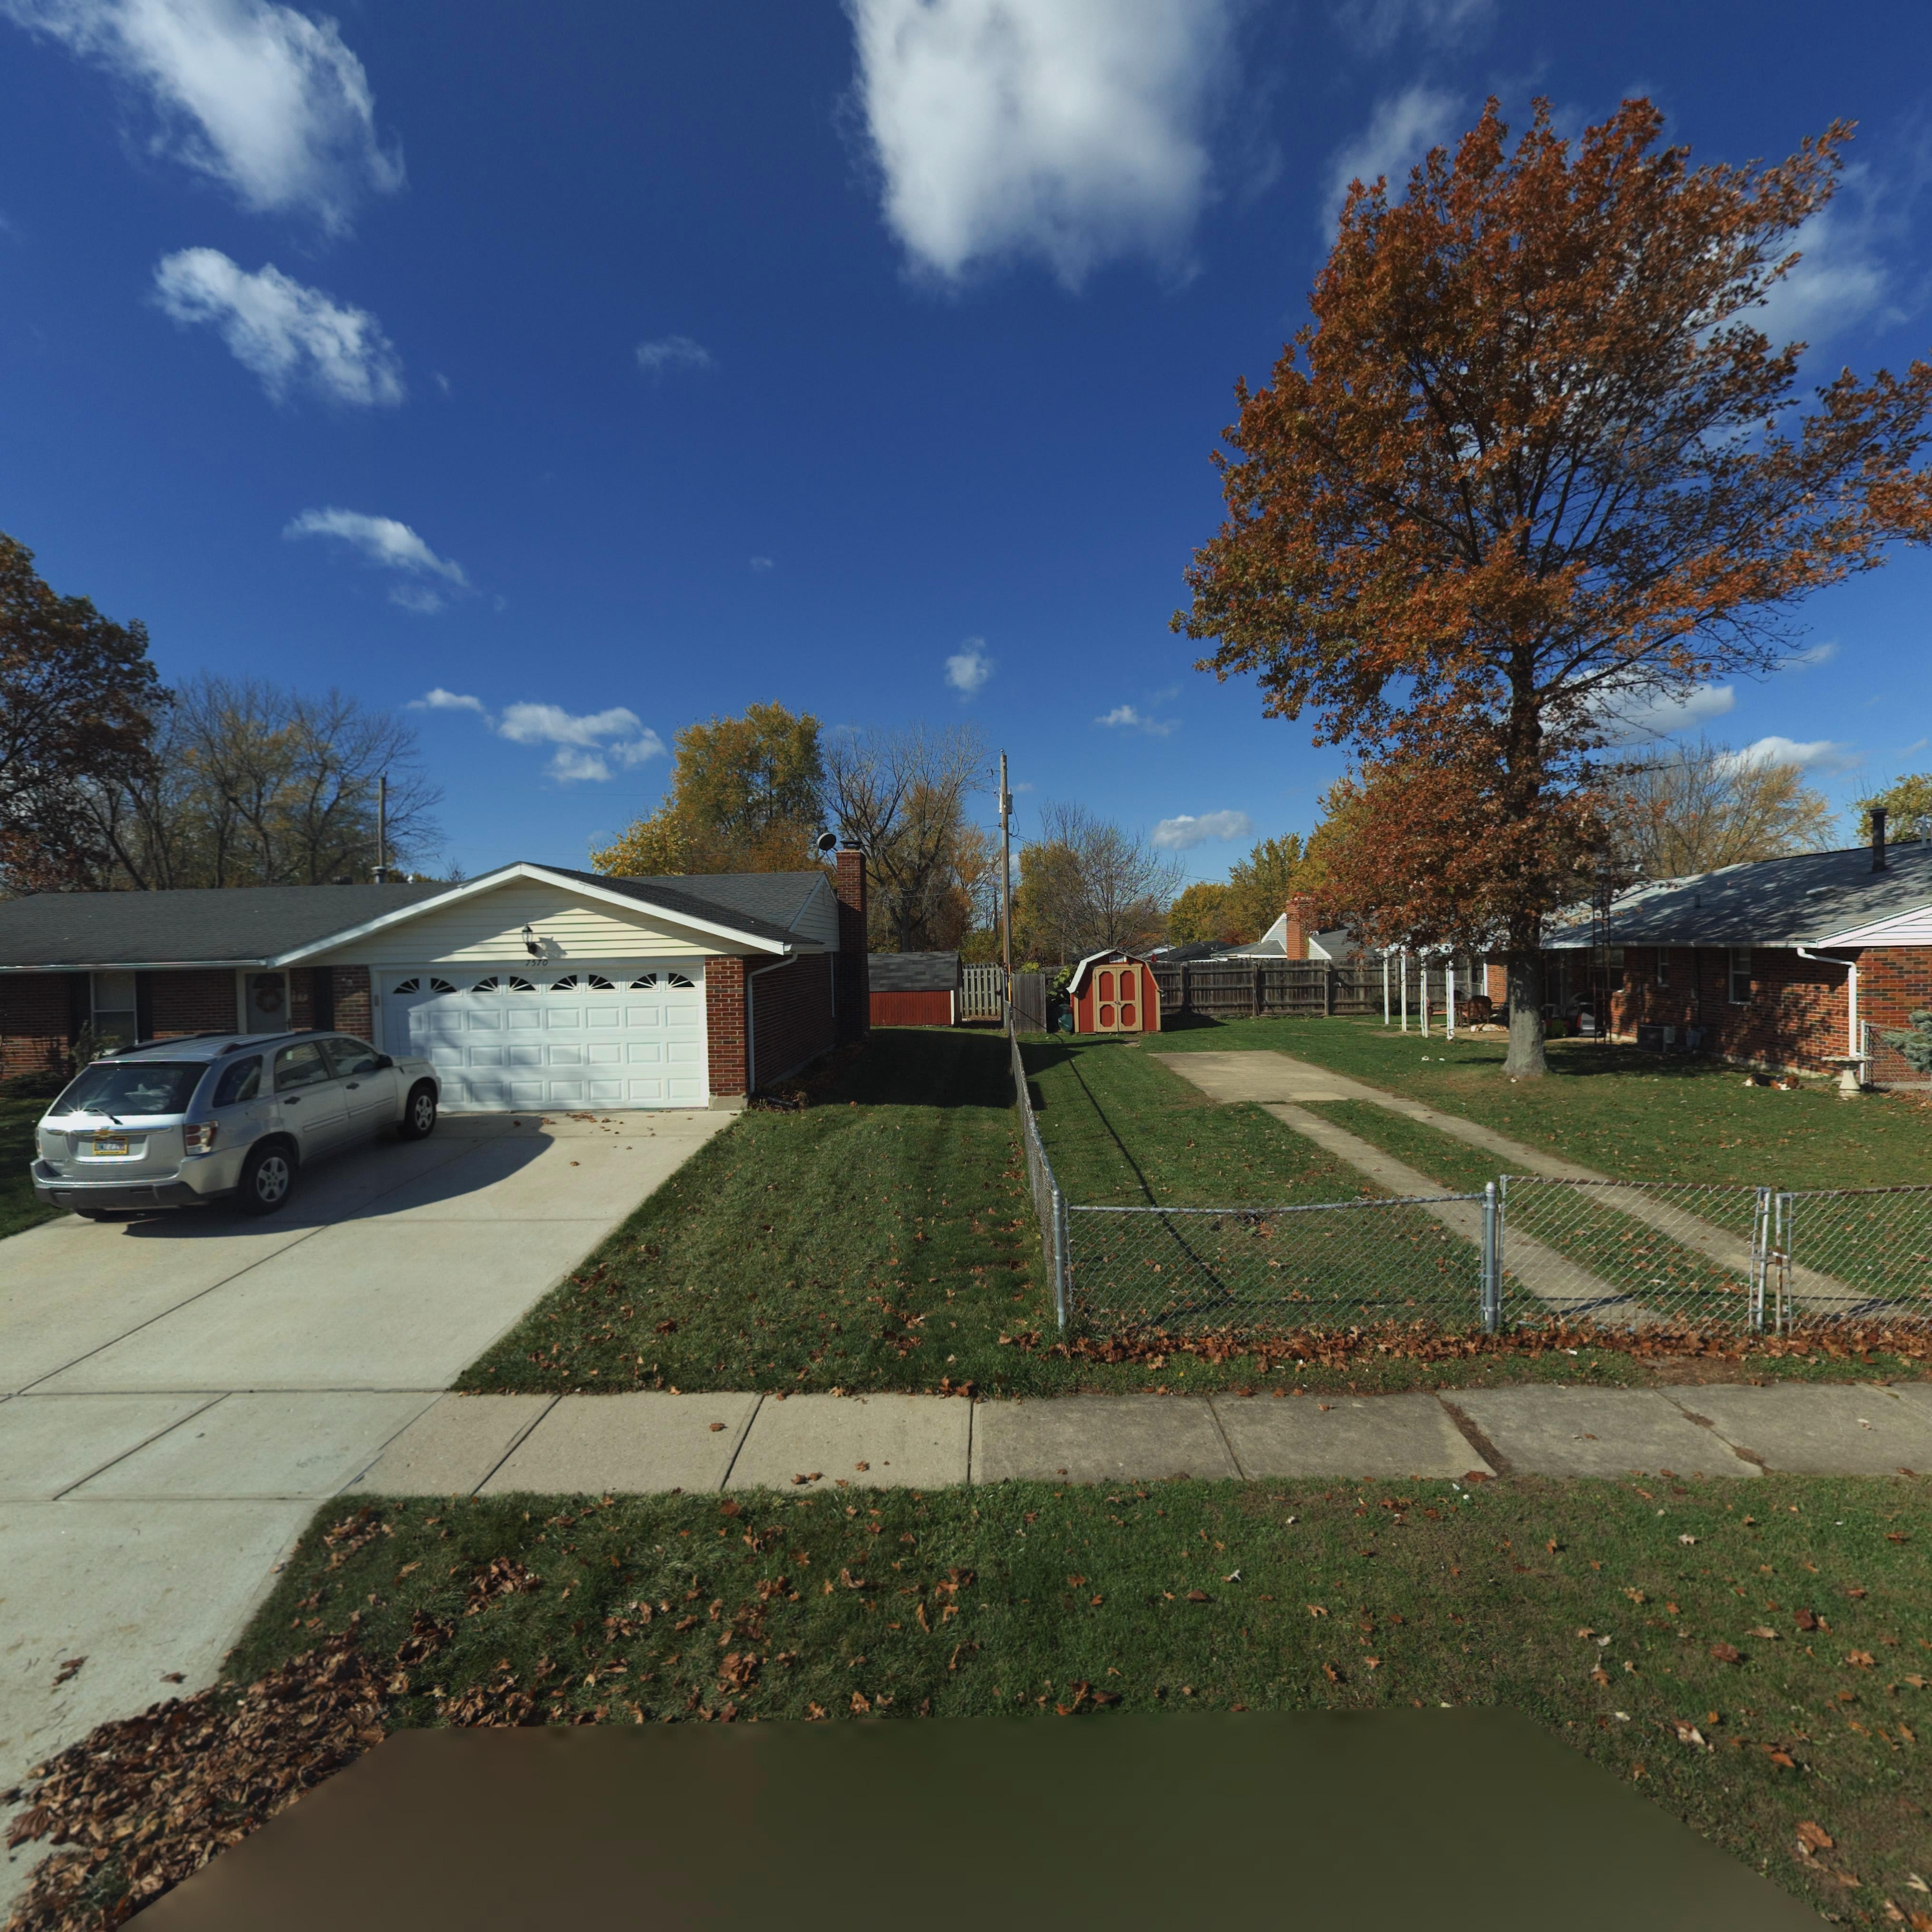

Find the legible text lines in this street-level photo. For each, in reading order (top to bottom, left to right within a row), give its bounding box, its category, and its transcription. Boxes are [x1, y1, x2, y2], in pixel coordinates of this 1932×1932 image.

[524, 958, 550, 967] StreetNumber: 7570